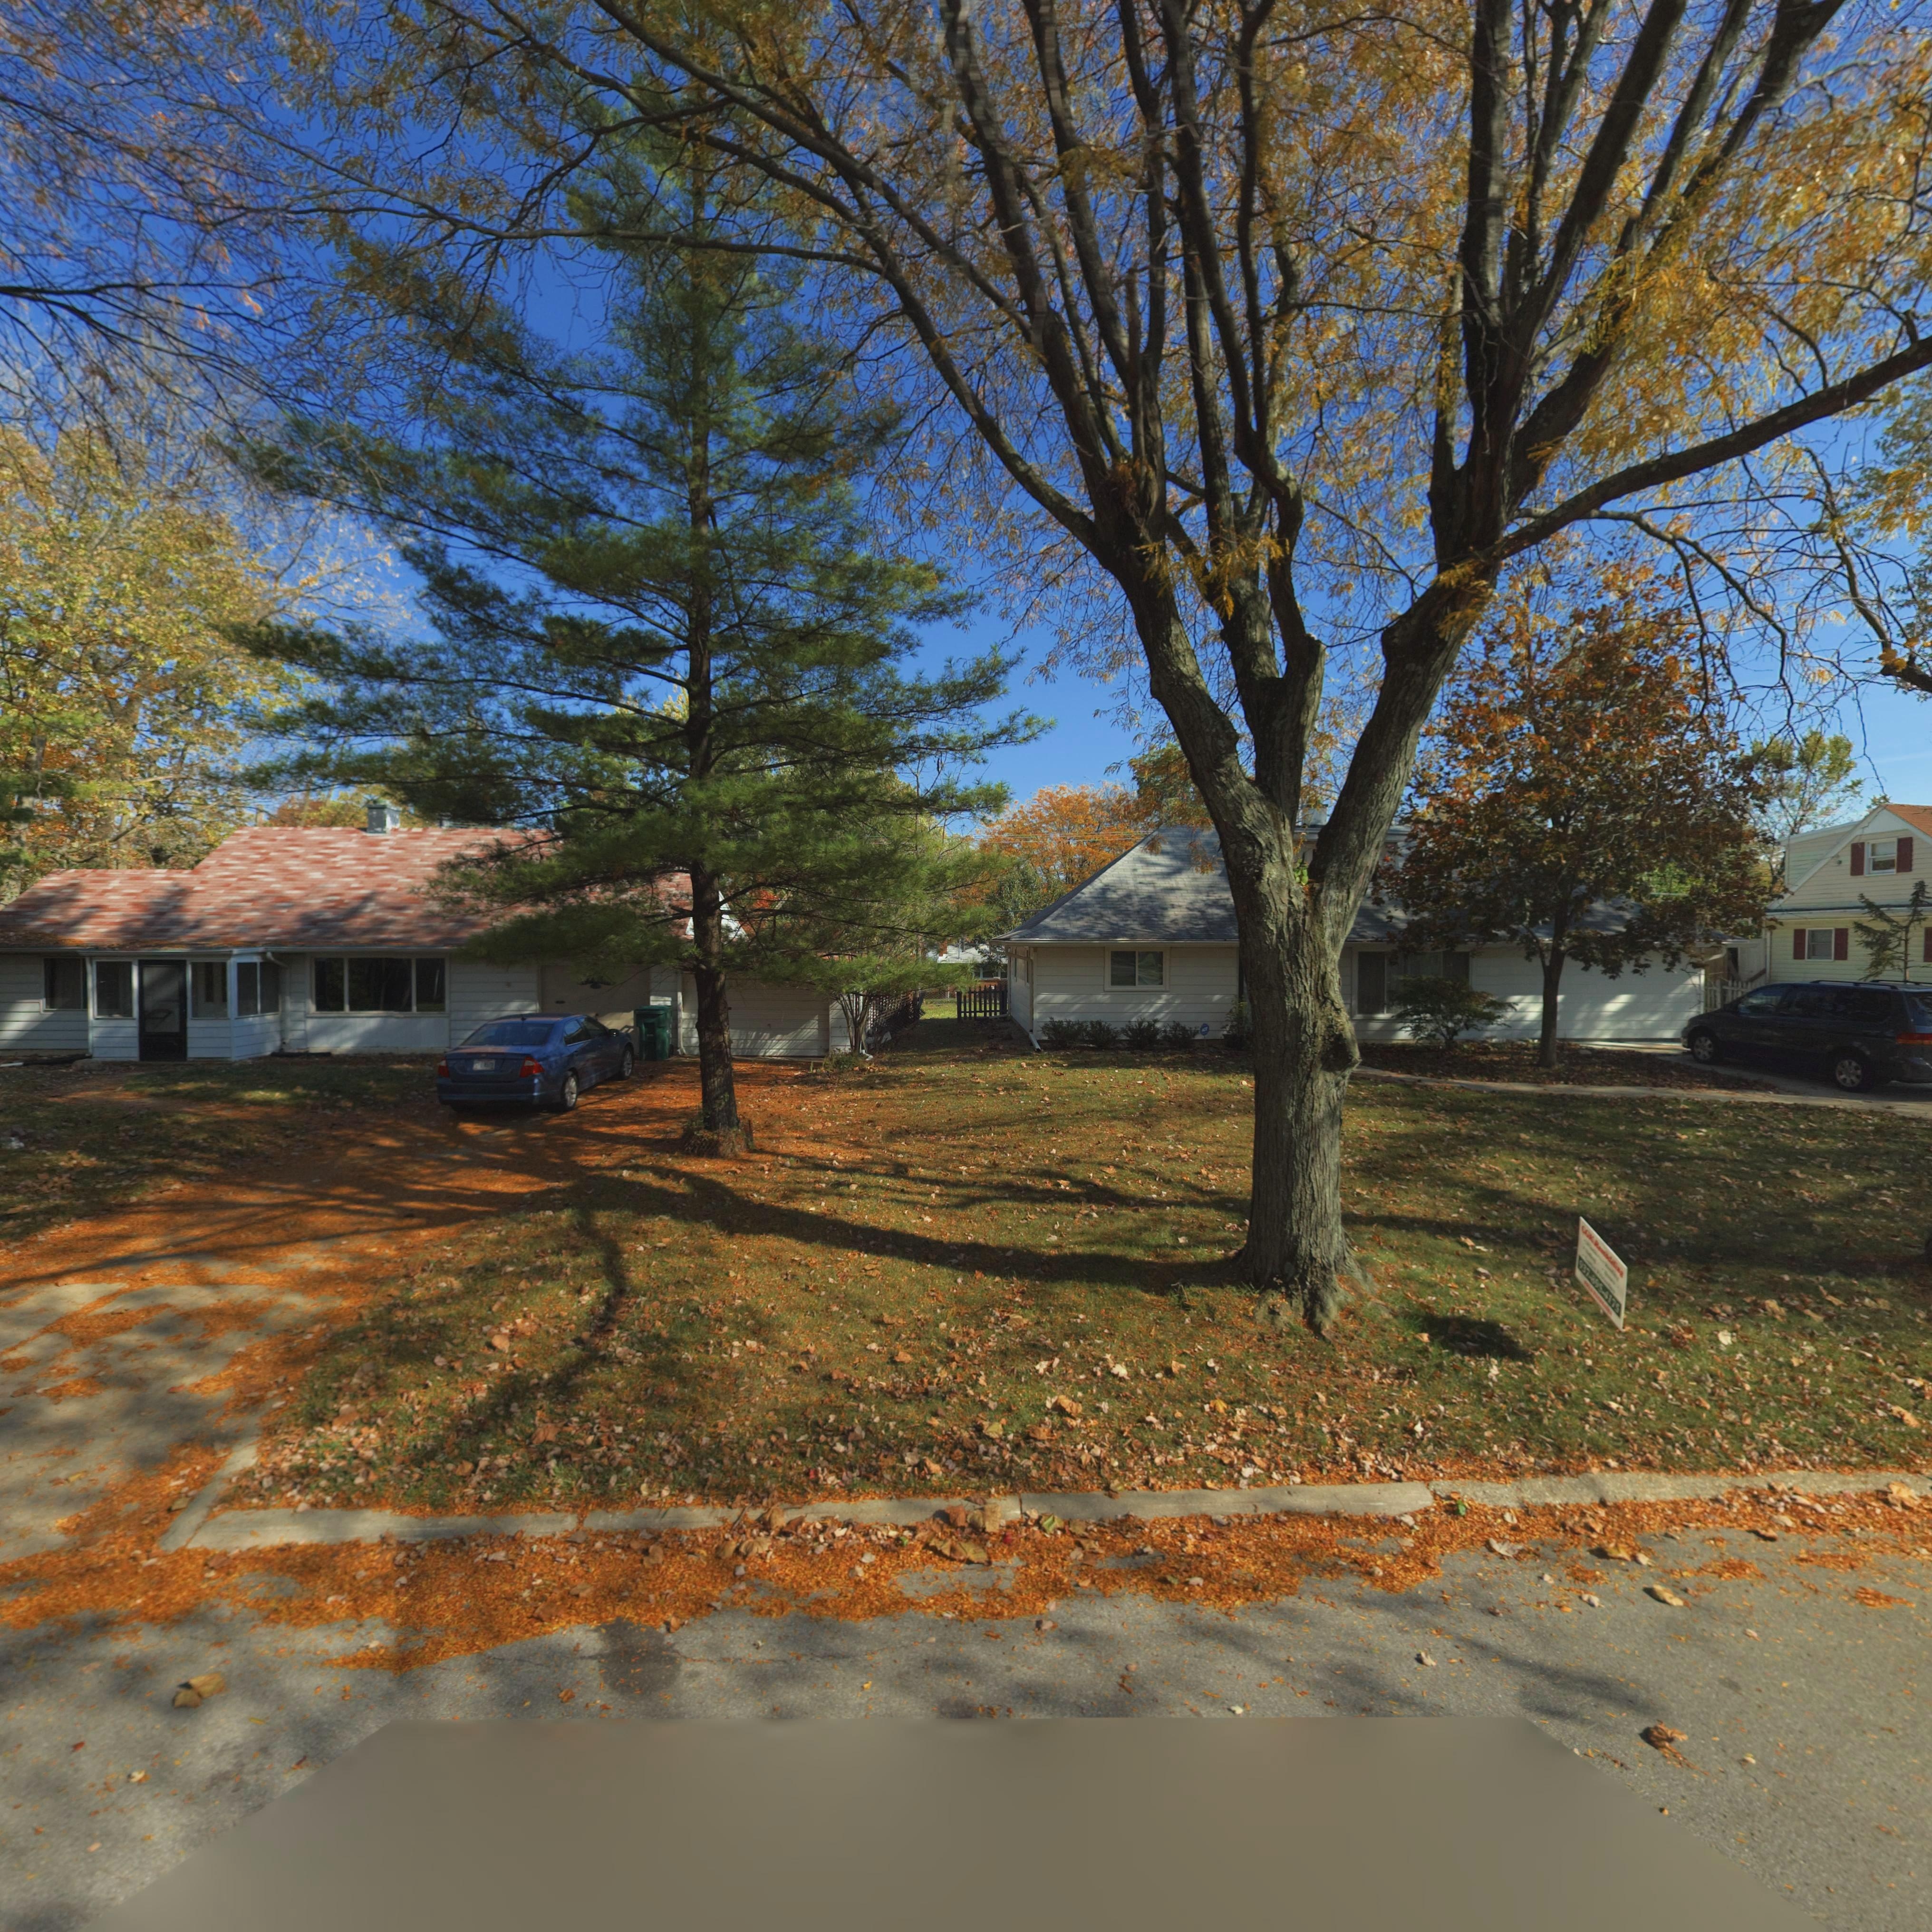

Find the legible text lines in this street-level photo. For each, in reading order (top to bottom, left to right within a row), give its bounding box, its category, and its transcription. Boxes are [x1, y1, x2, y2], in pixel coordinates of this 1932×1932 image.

[1578, 1257, 1622, 1315] None: 937-895-4175